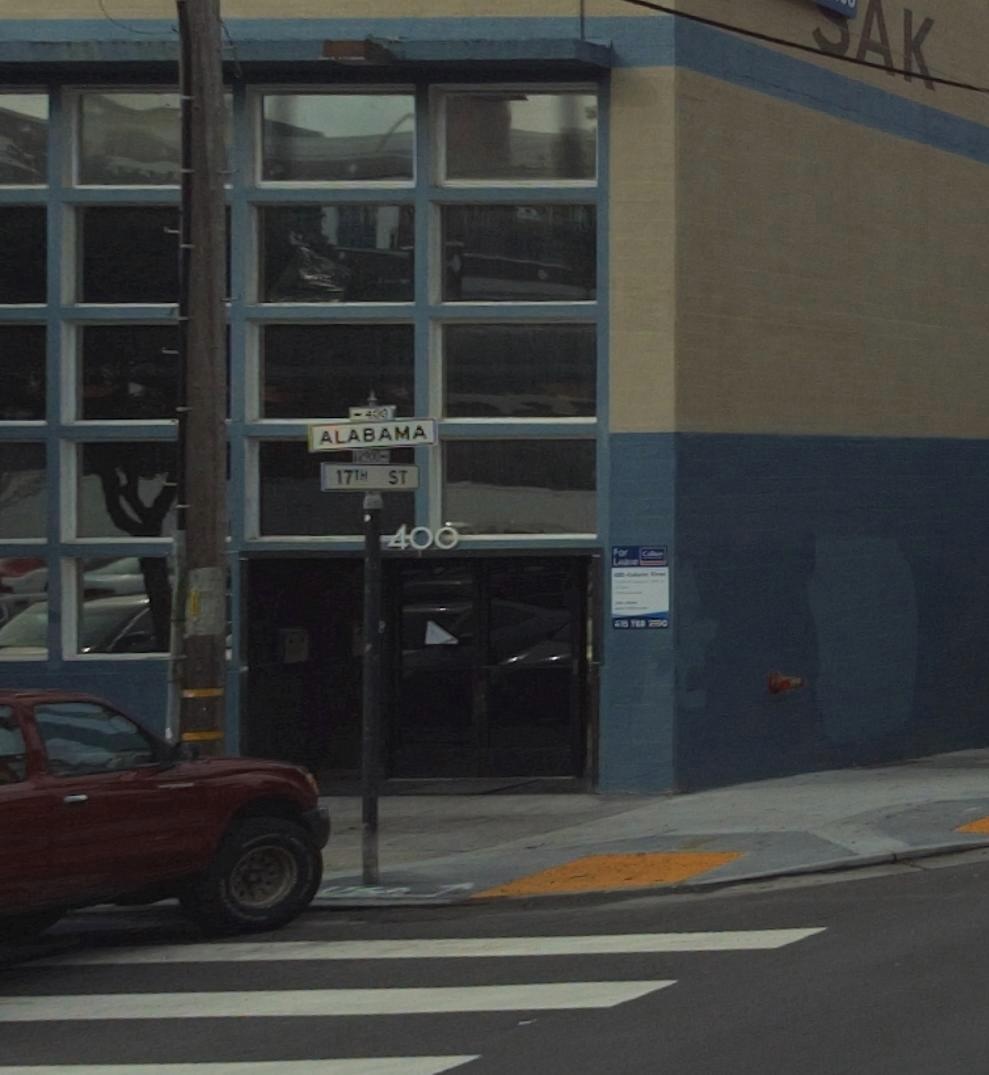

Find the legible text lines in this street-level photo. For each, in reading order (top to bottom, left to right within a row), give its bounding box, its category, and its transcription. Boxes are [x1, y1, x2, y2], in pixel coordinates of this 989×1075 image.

[851, 0, 938, 93] BusinessName: AK
[352, 408, 391, 421] StreetNumberRange: <-400
[317, 423, 431, 446] StreetName: ALABAMA
[334, 468, 411, 486] StreetName: 17TH ST
[382, 520, 460, 551] StreetNumber: 400
[612, 546, 630, 557] None: For